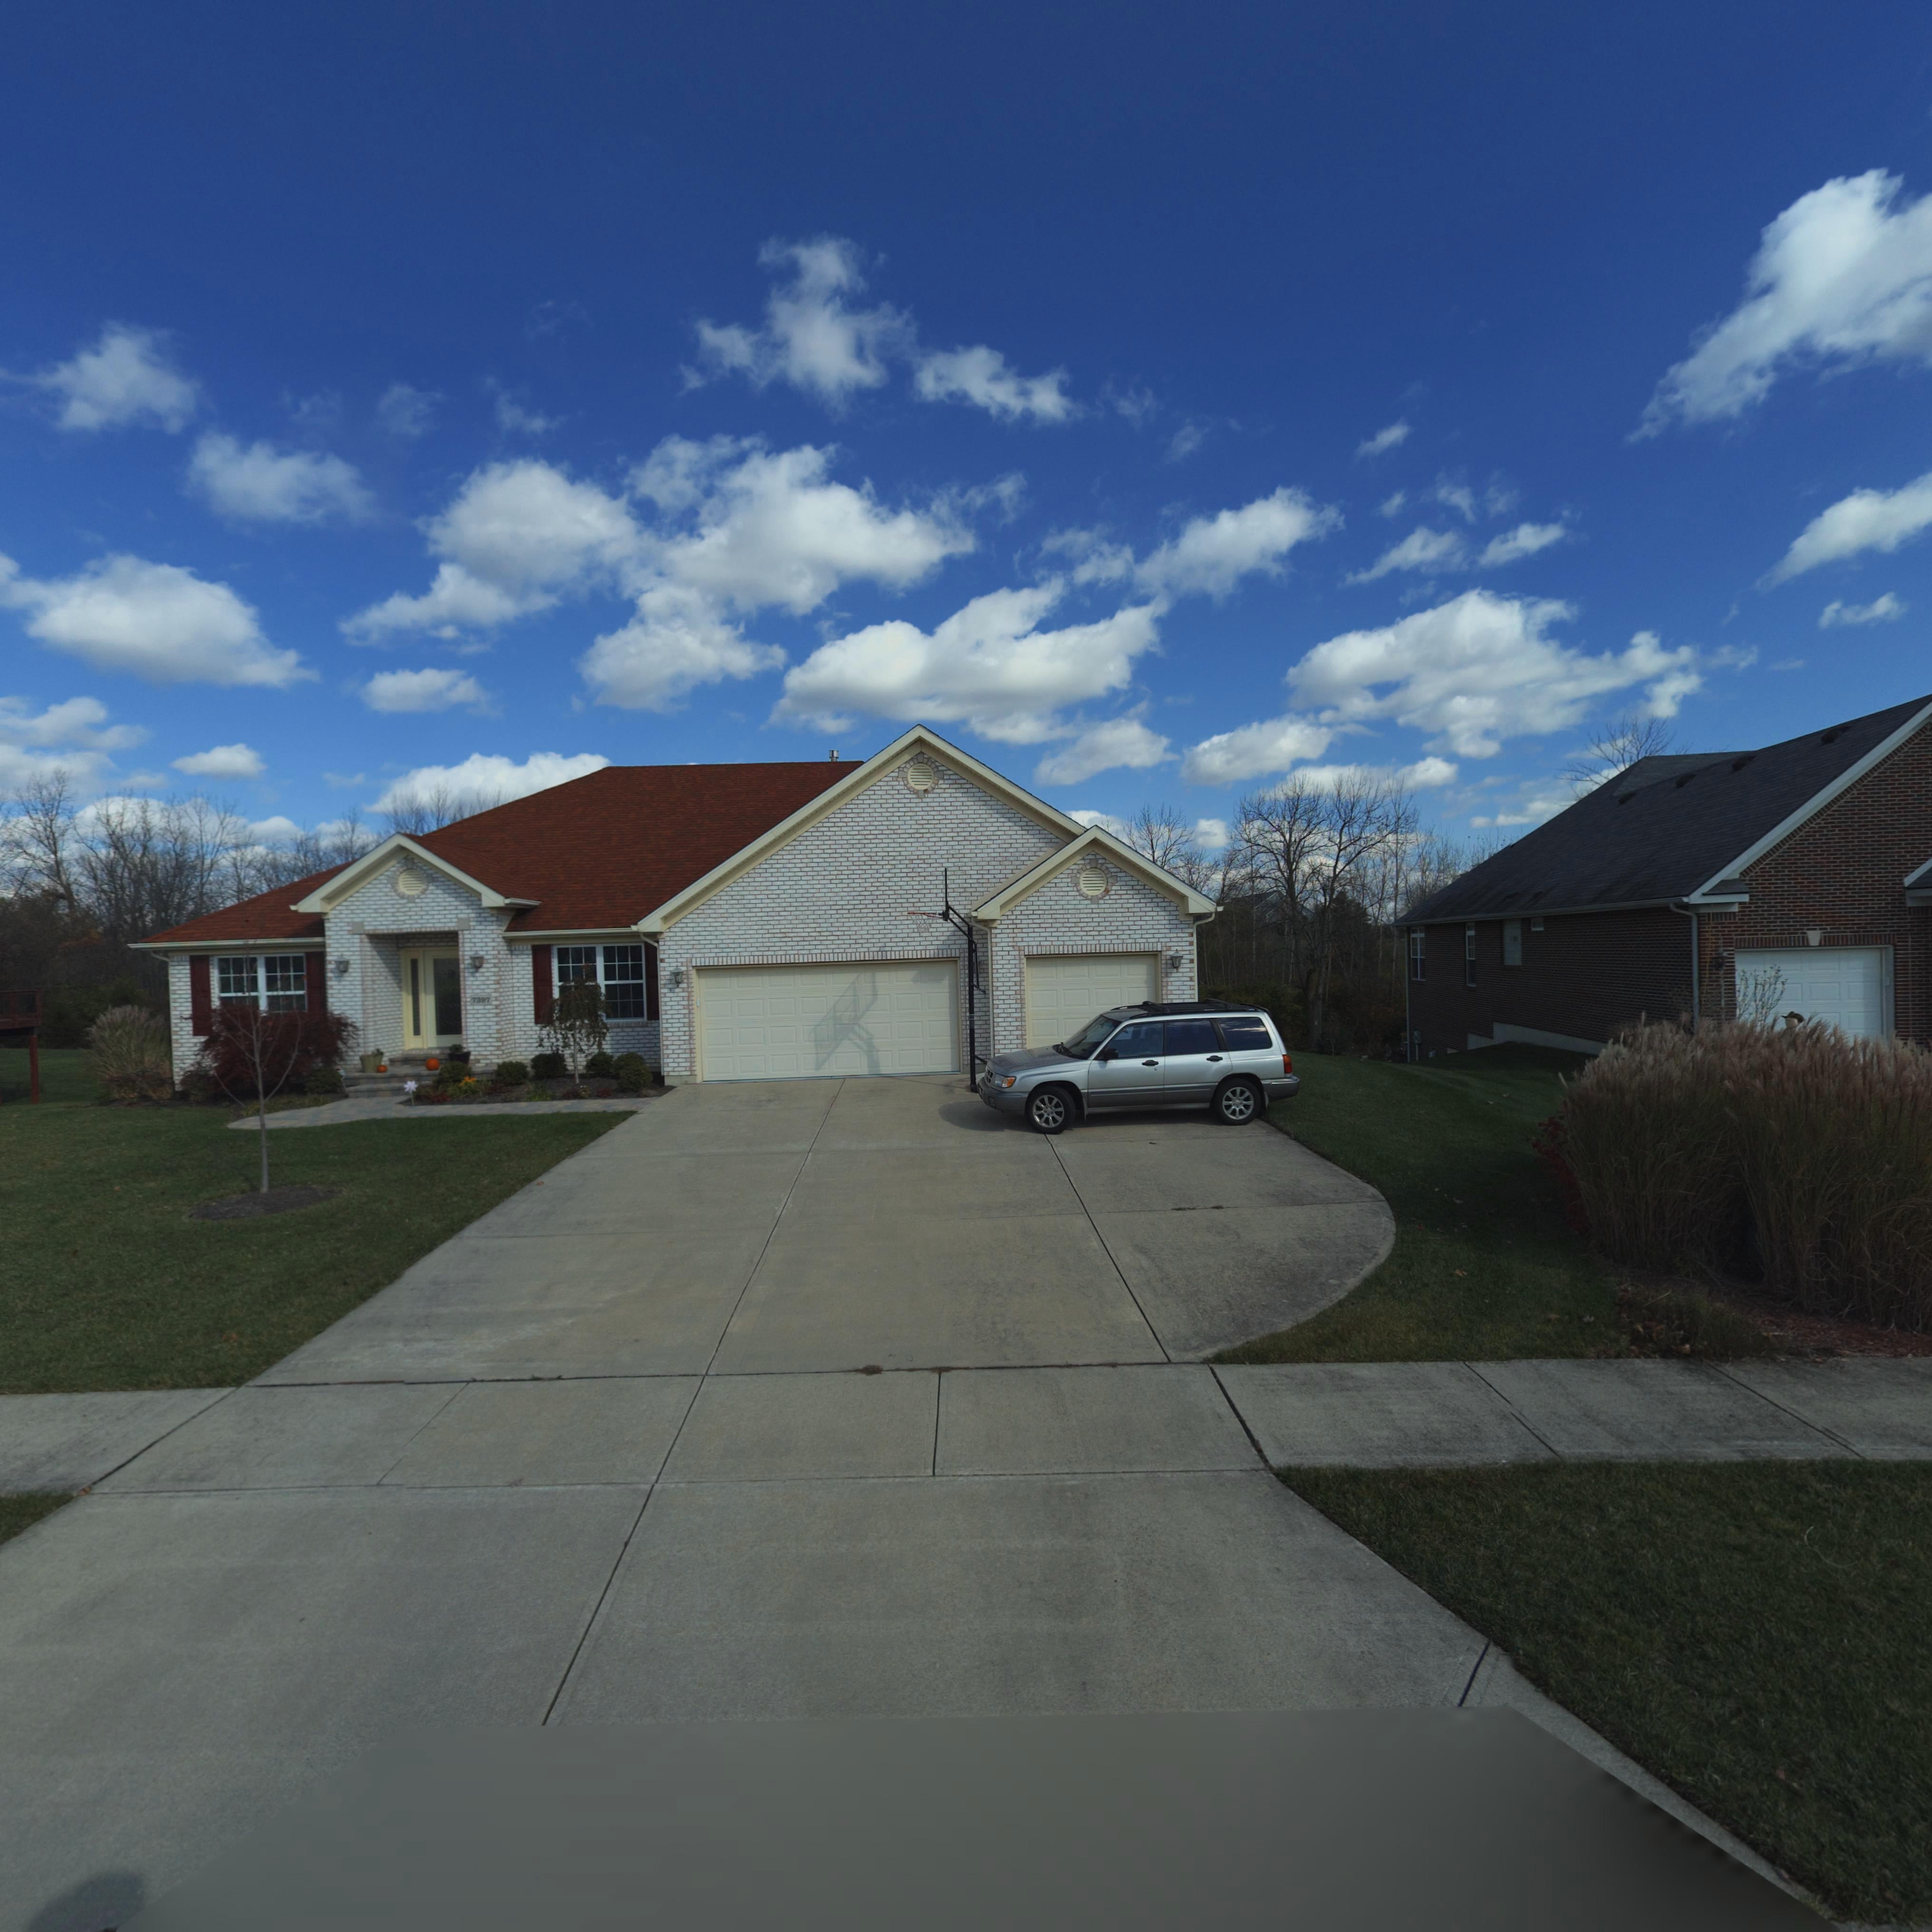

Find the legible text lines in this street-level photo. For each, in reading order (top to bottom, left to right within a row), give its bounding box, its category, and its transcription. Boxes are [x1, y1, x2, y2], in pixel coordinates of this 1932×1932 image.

[471, 996, 491, 1004] StreetNumber: 7397